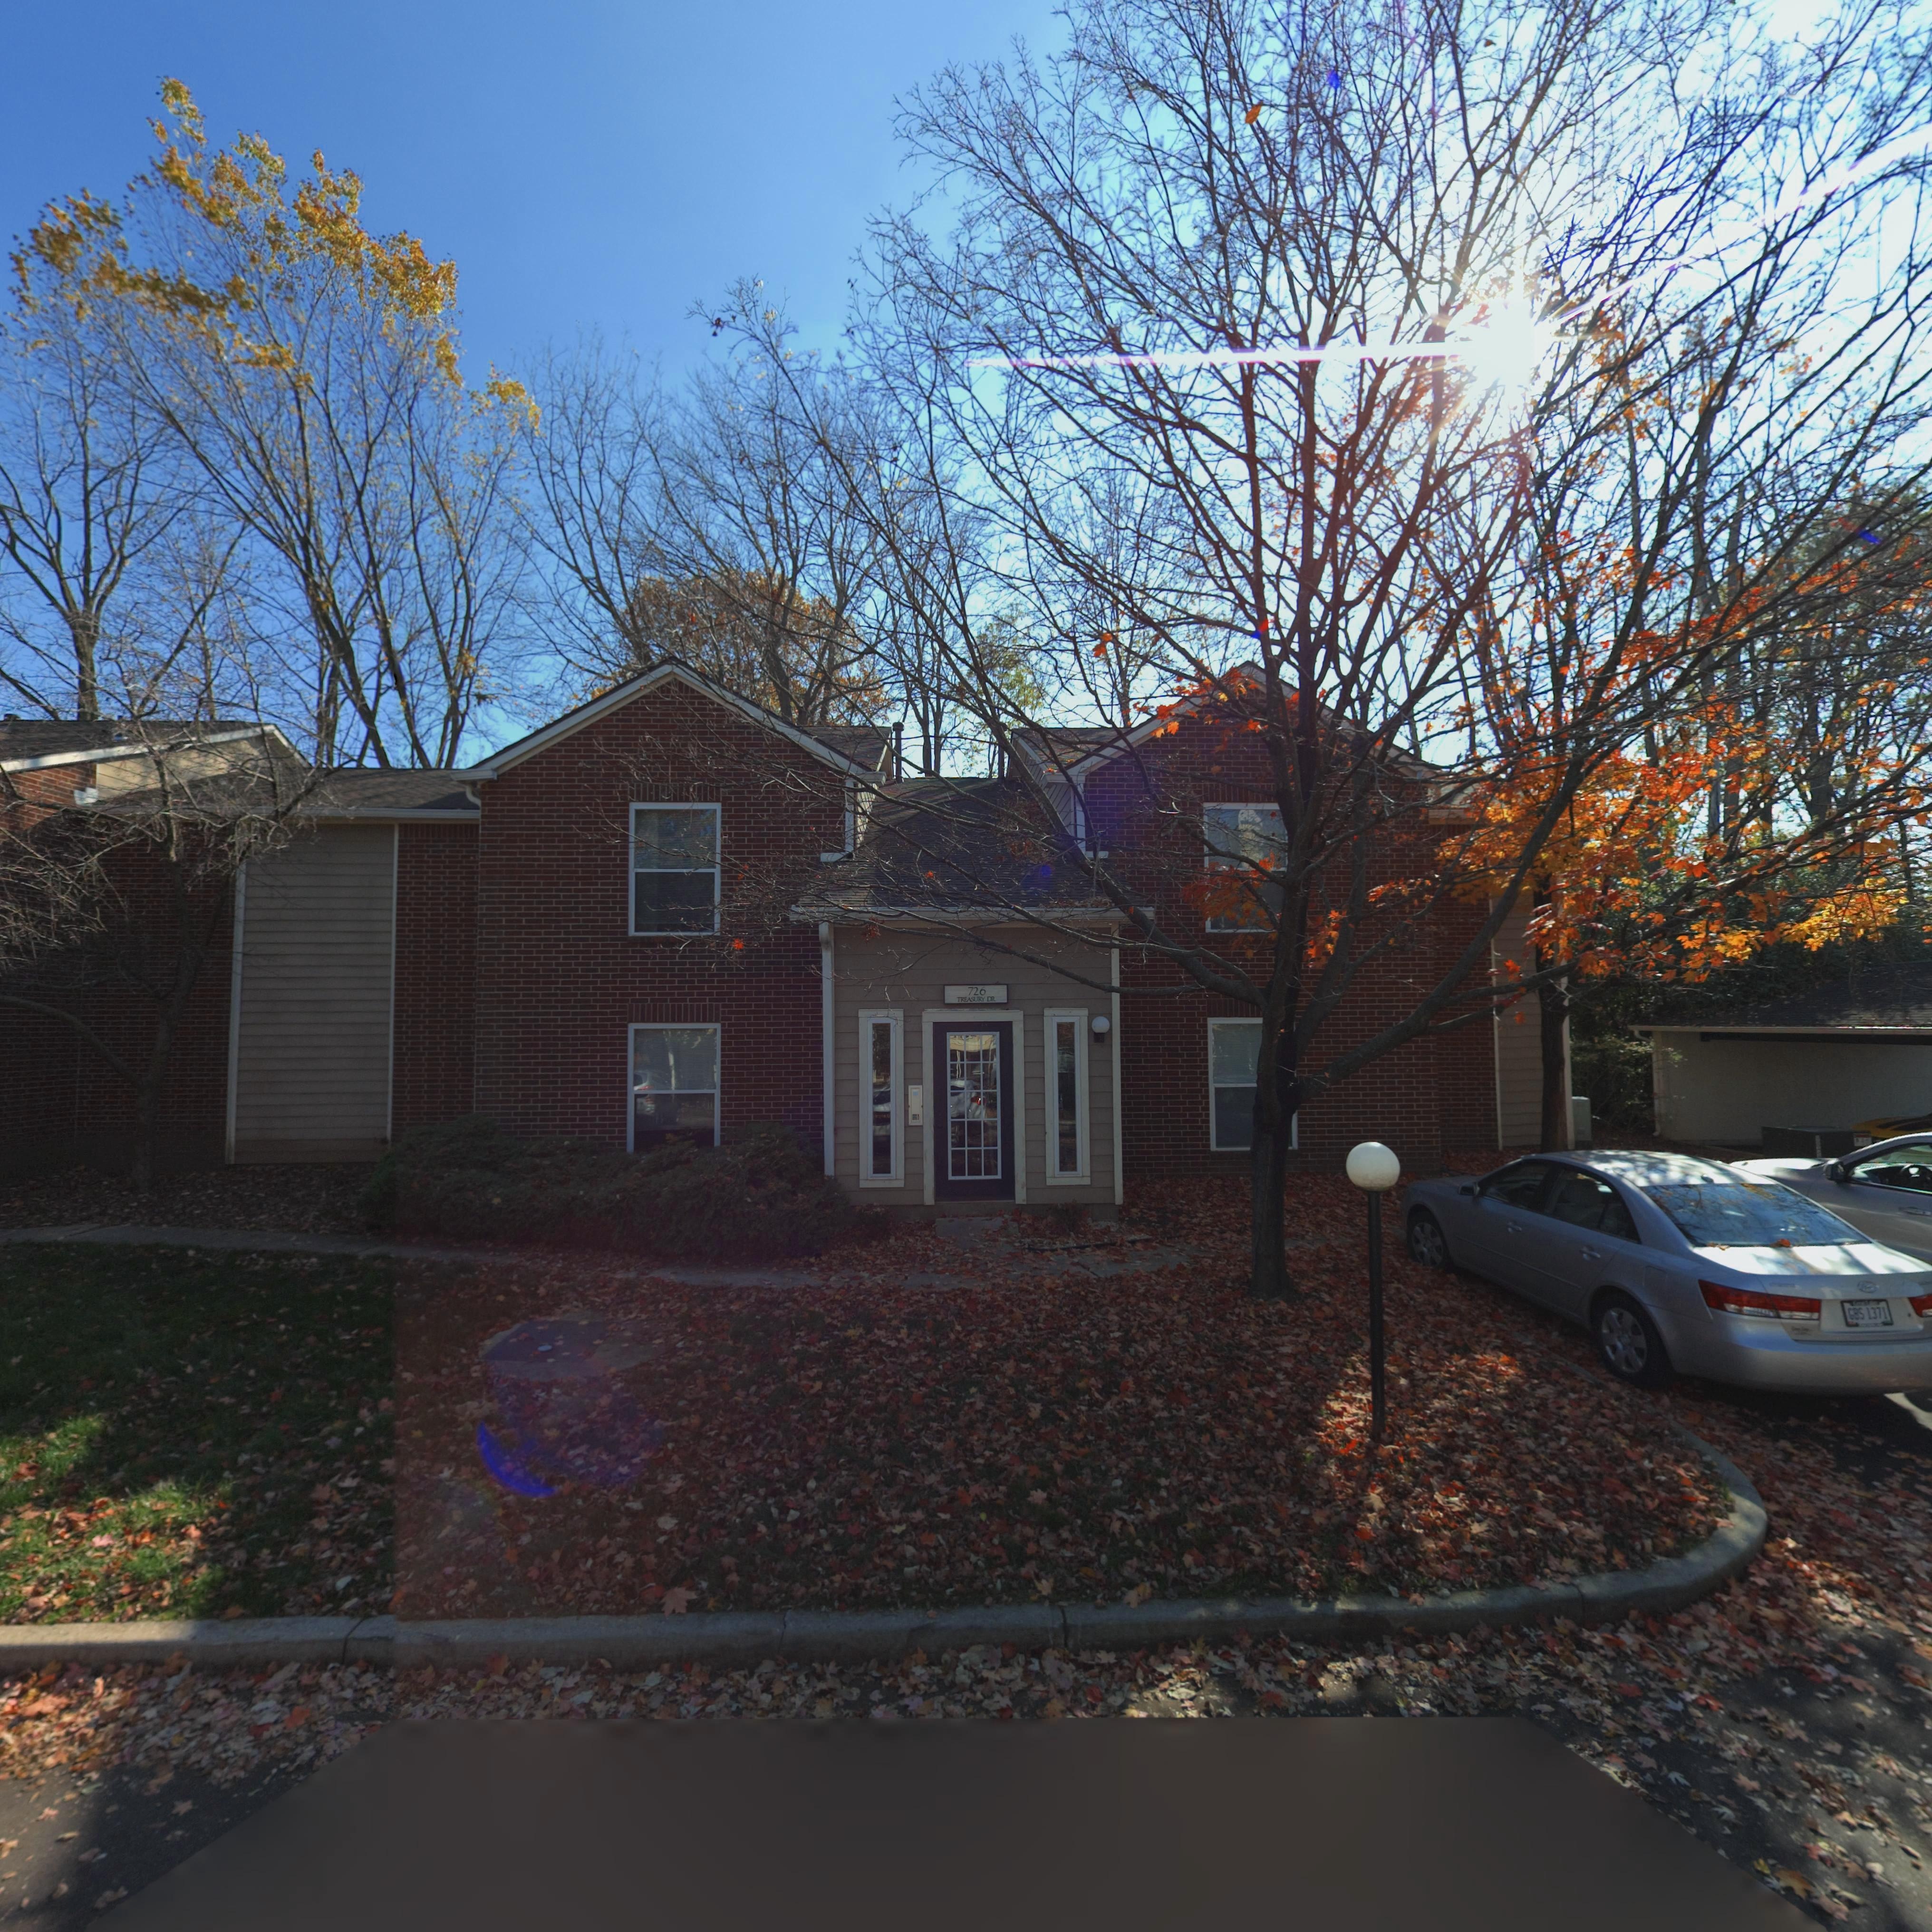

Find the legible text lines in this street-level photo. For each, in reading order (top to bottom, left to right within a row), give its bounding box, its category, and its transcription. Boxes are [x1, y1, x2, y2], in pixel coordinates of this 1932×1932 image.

[967, 985, 987, 996] StreetNumber: 726
[956, 995, 996, 1003] StreetName: TREASURY DR
[1846, 1305, 1889, 1322] None: GBS 1371